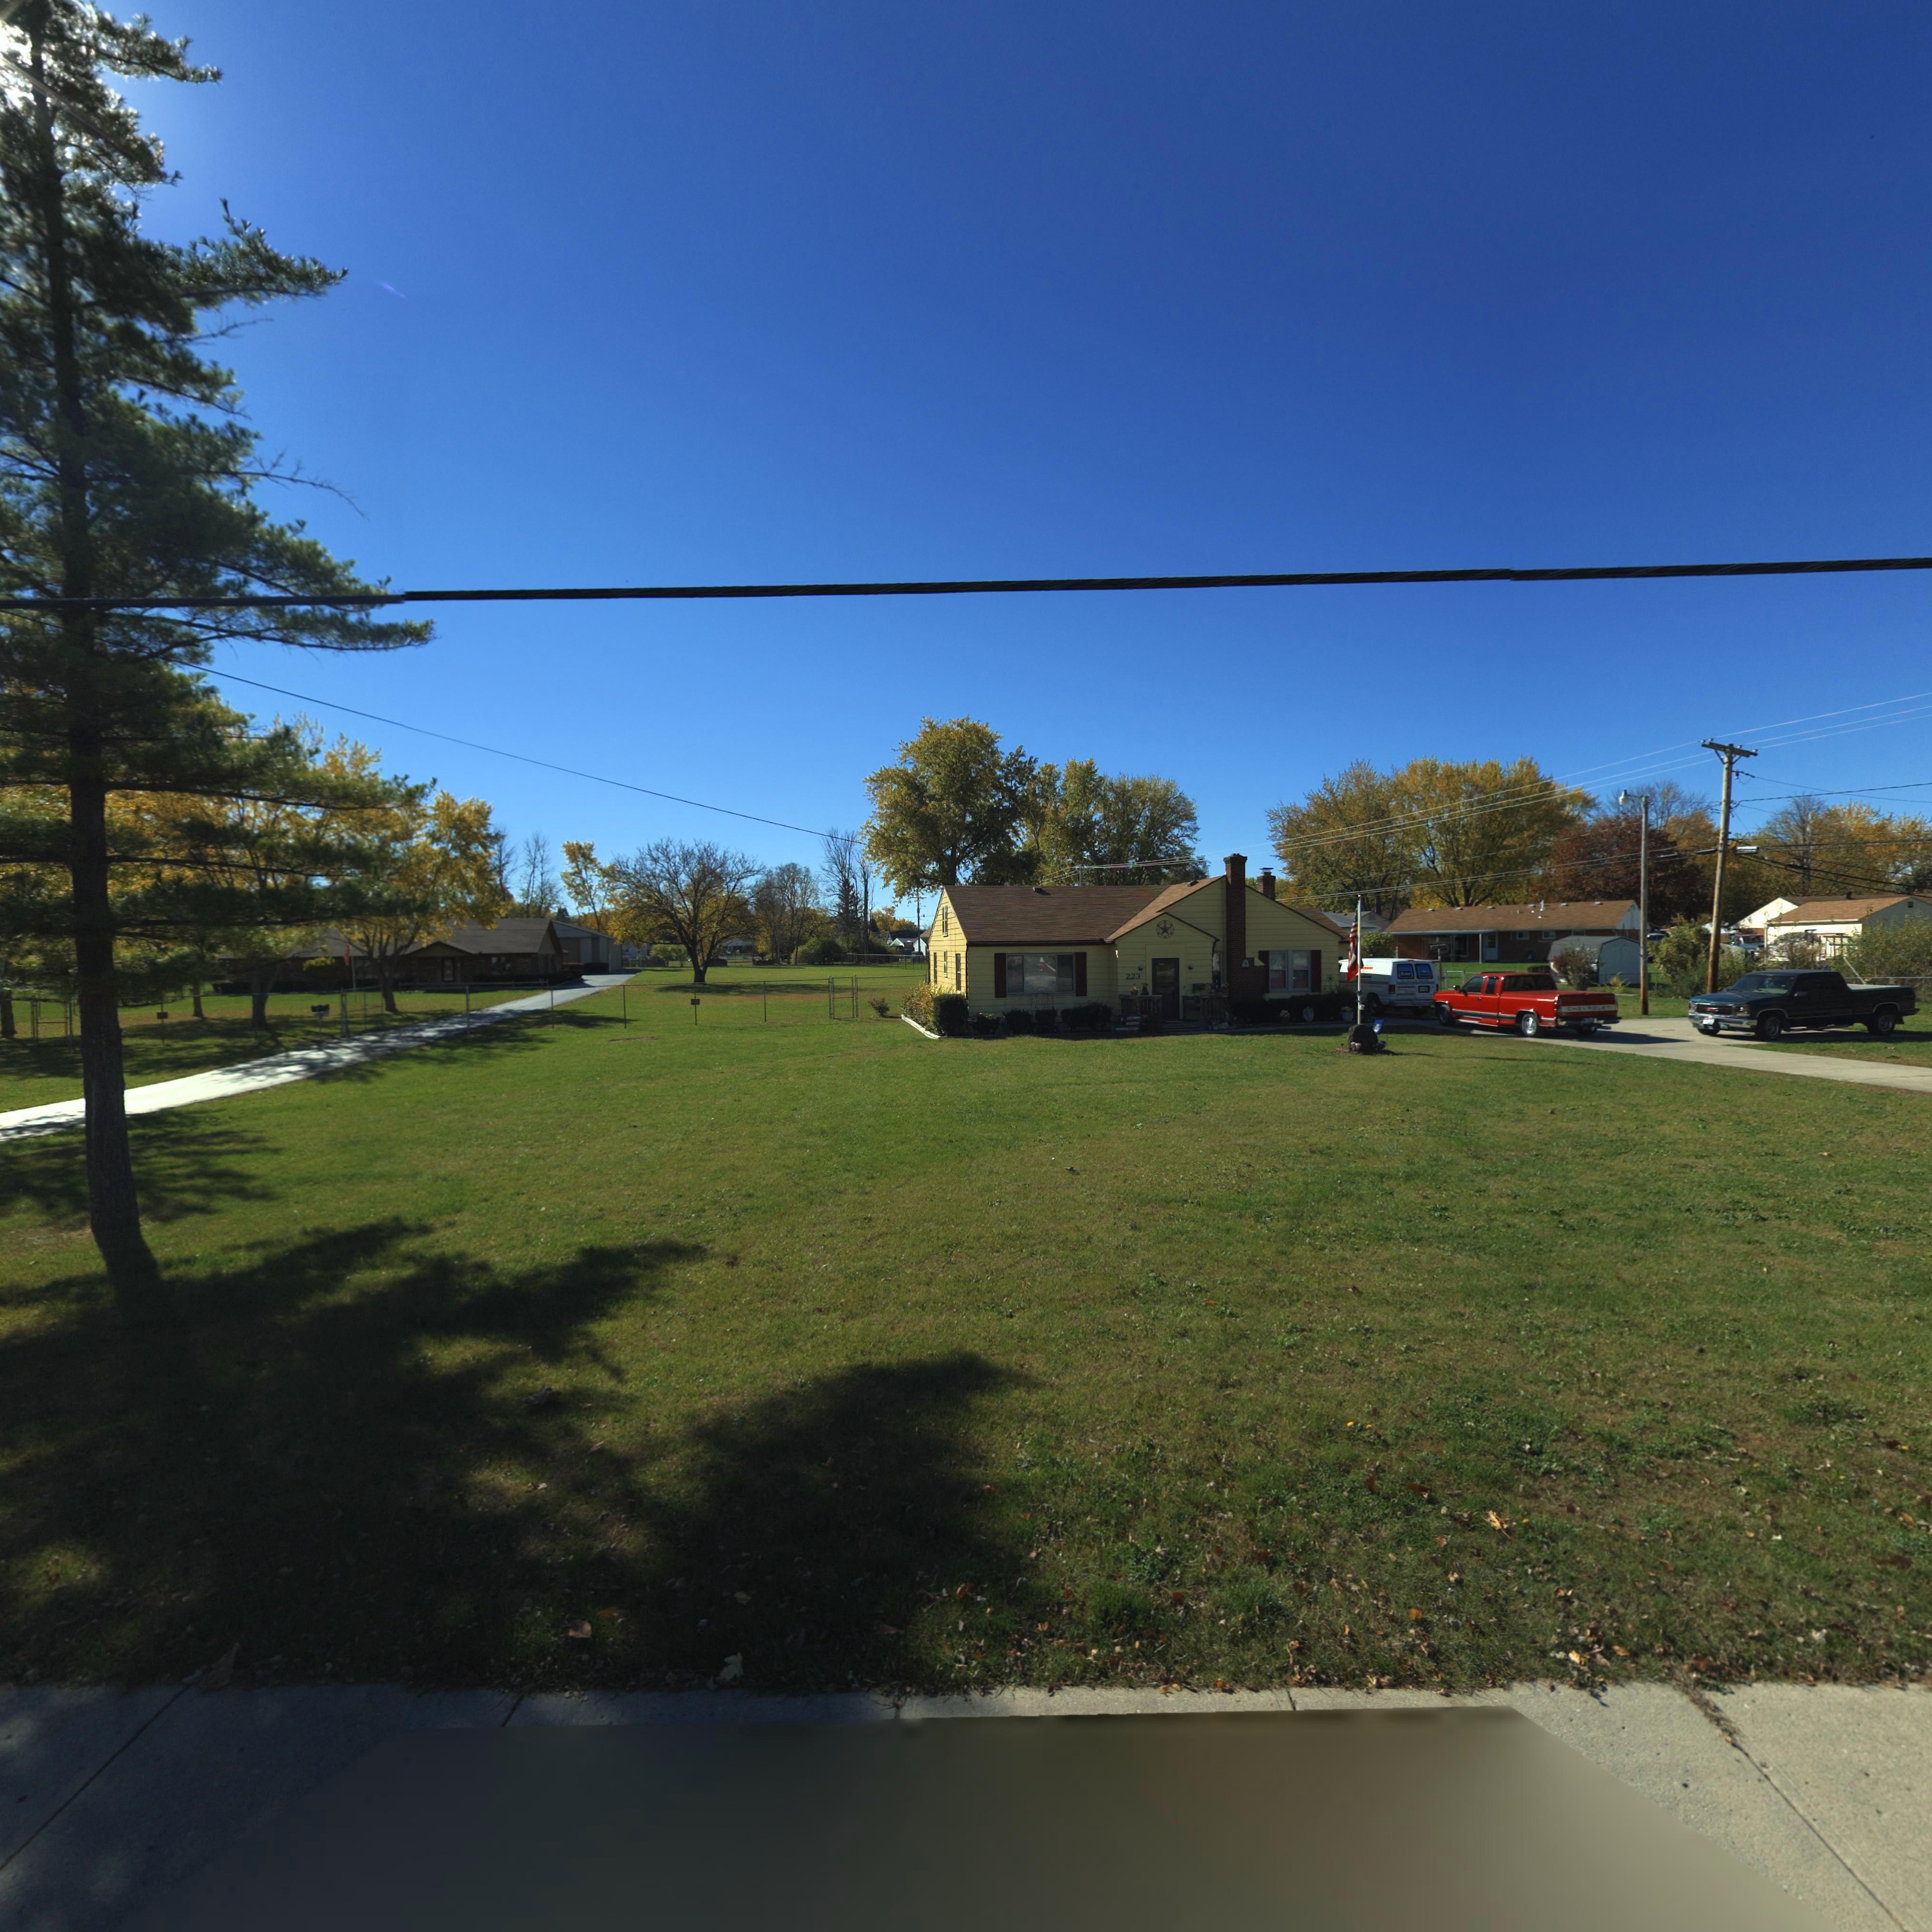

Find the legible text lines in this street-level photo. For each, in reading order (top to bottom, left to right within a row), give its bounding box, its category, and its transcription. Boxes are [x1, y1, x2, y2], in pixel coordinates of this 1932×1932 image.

[1125, 973, 1140, 980] StreetNumber: 223
[1566, 1005, 1611, 1012] None: CH*V*OL*T